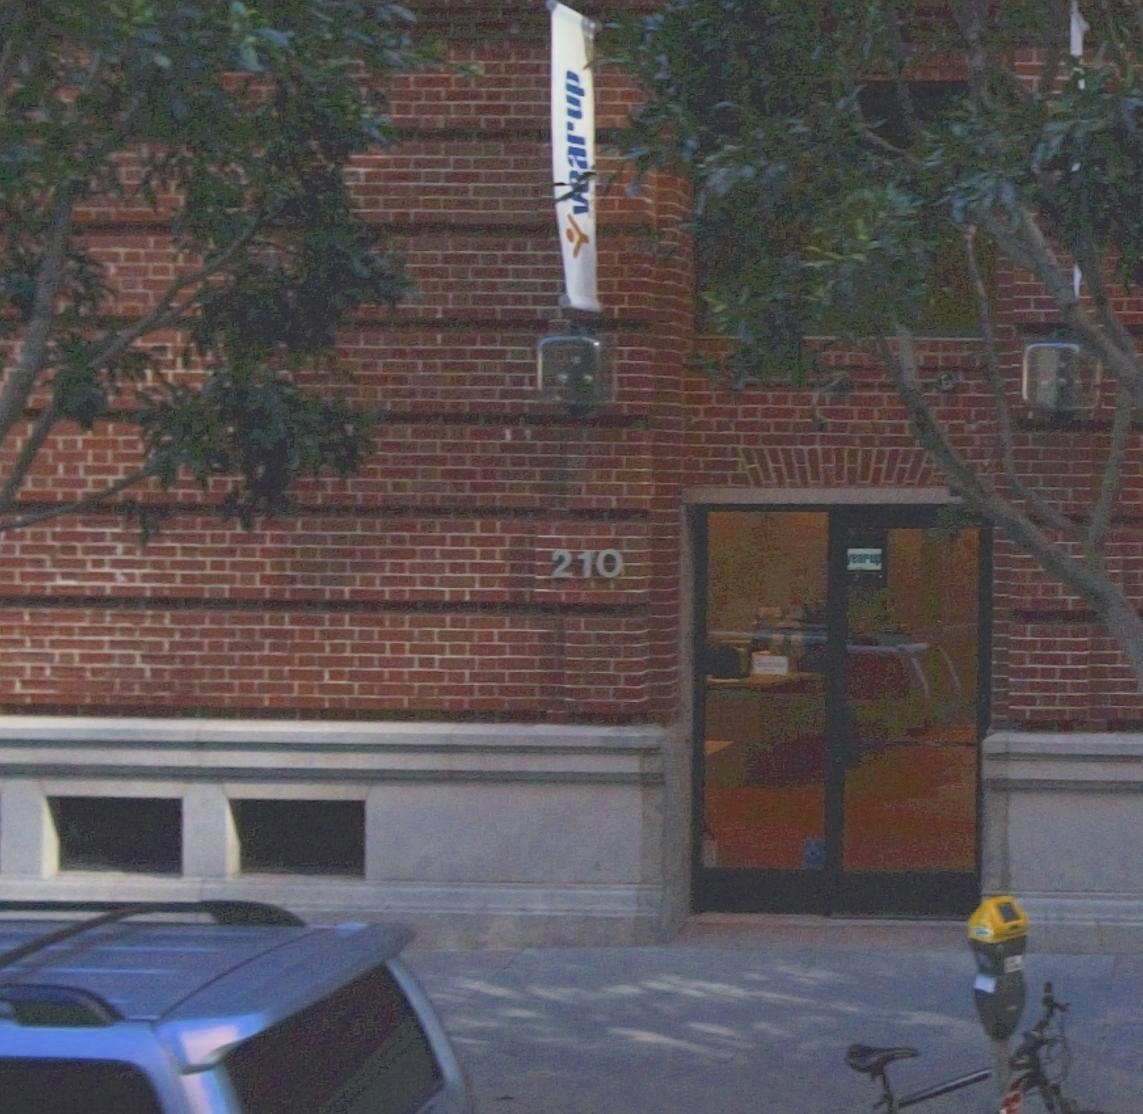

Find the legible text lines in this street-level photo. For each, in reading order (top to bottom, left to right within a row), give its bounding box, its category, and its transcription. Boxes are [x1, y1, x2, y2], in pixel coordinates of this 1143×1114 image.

[563, 67, 592, 218] BusinessName: v*ar up
[550, 548, 624, 579] StreetNumber: 210
[846, 554, 883, 567] BusinessName: year up